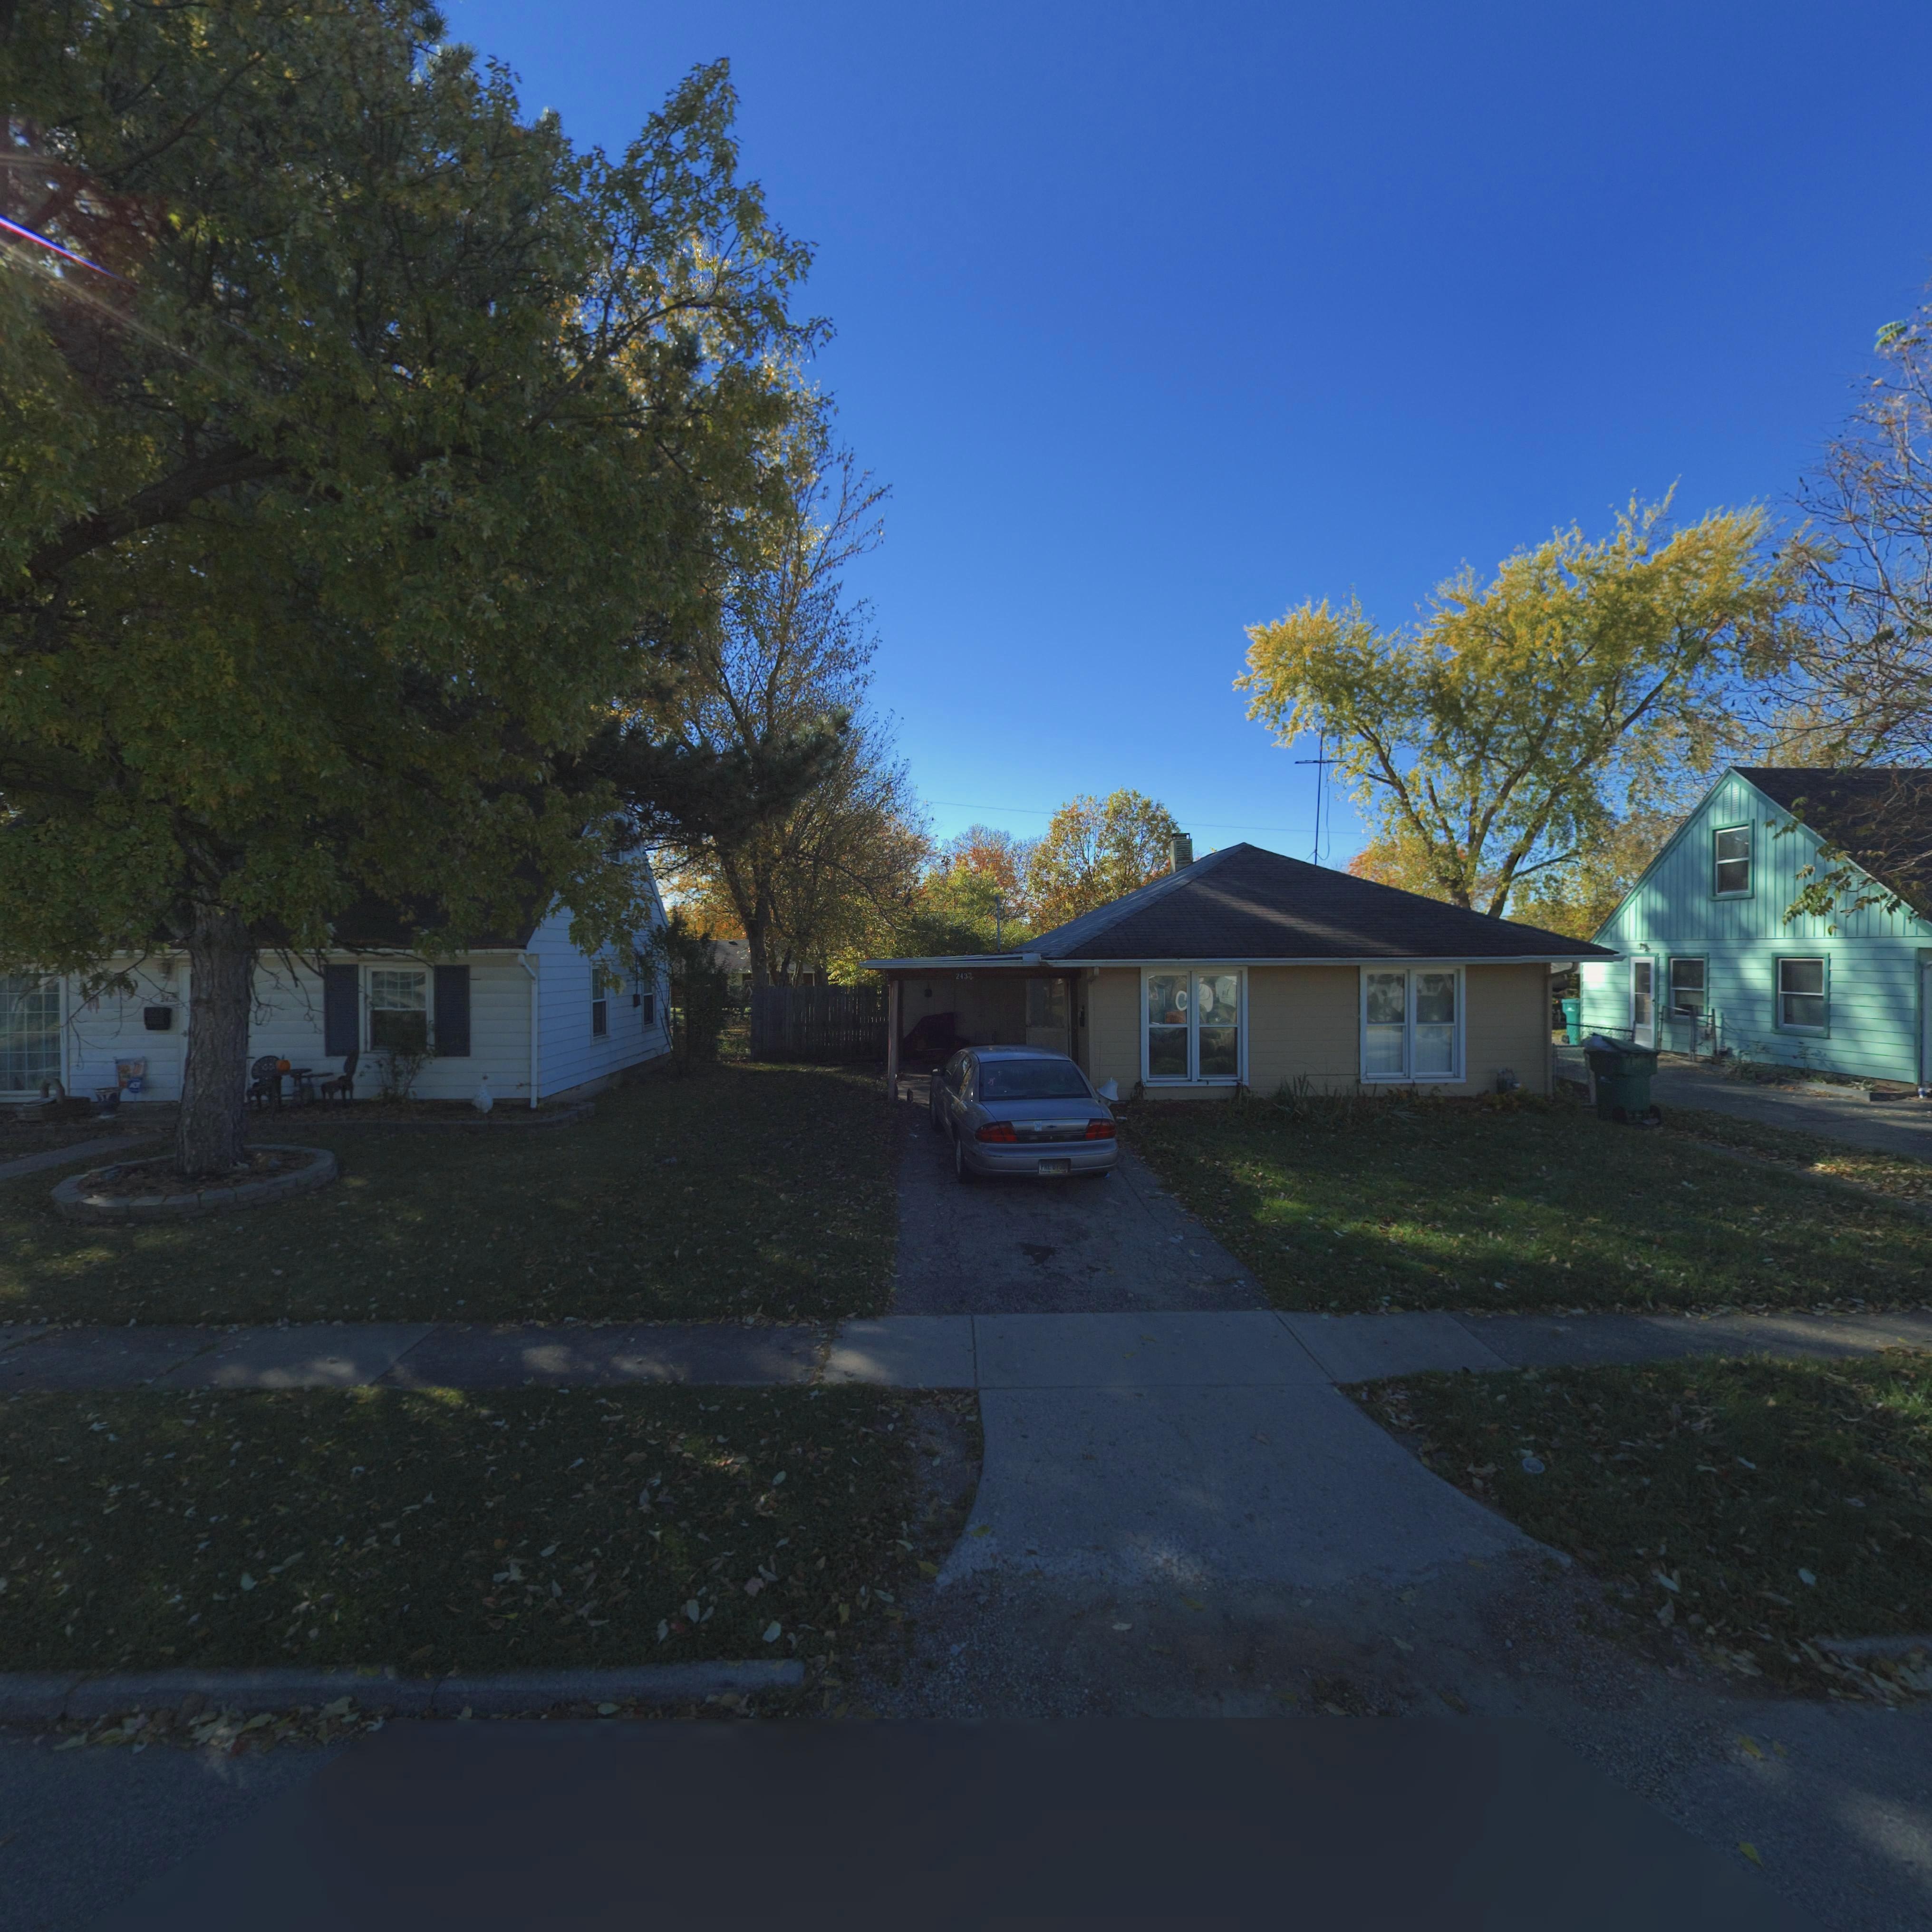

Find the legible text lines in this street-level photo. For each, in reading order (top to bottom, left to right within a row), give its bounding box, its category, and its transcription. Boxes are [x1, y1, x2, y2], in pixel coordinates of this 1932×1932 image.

[955, 972, 973, 980] StreetNumber: 243*
[1040, 1161, 1066, 1170] None: FRE*675*